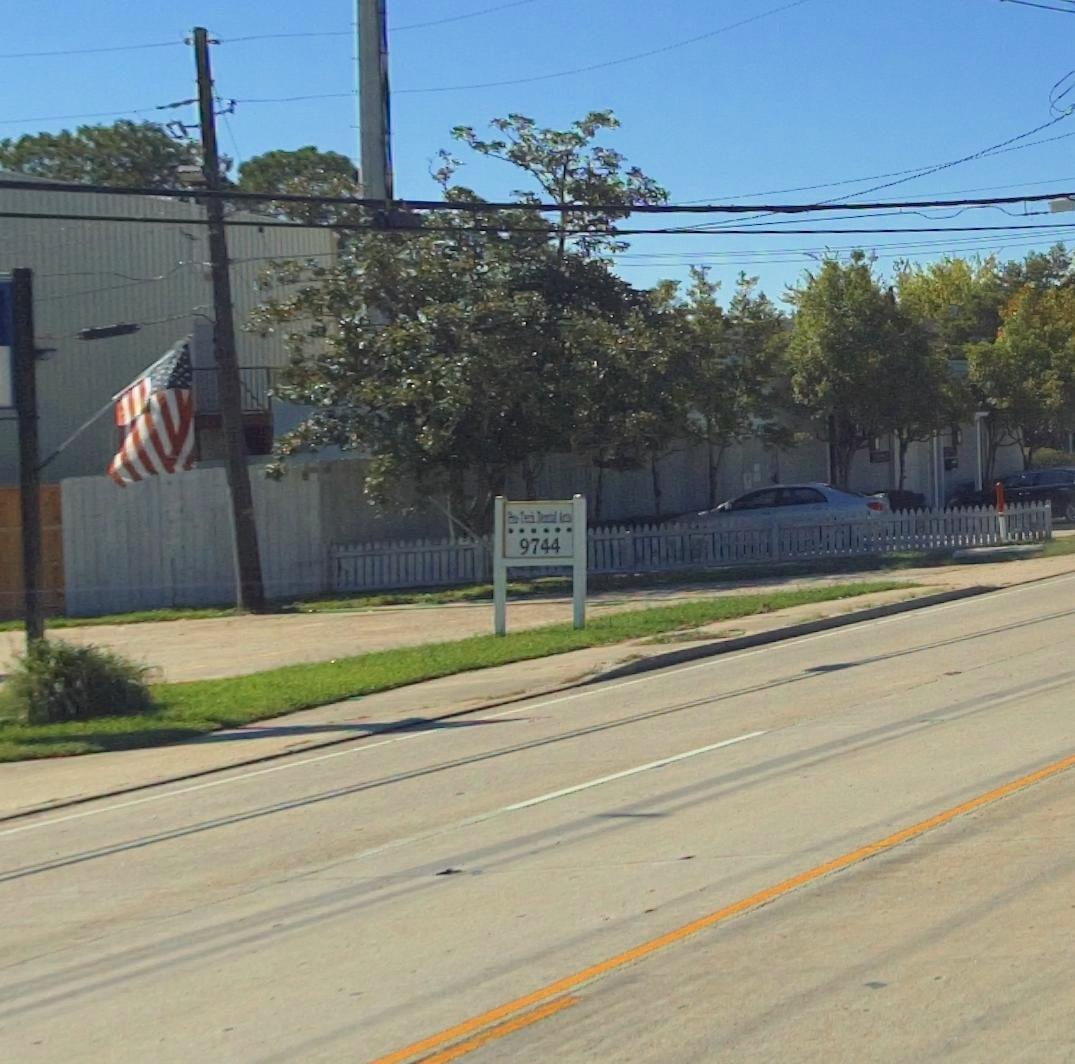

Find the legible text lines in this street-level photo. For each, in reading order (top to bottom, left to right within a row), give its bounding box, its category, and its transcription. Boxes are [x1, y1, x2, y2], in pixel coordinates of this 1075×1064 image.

[517, 535, 563, 558] StreetNumber: 9744